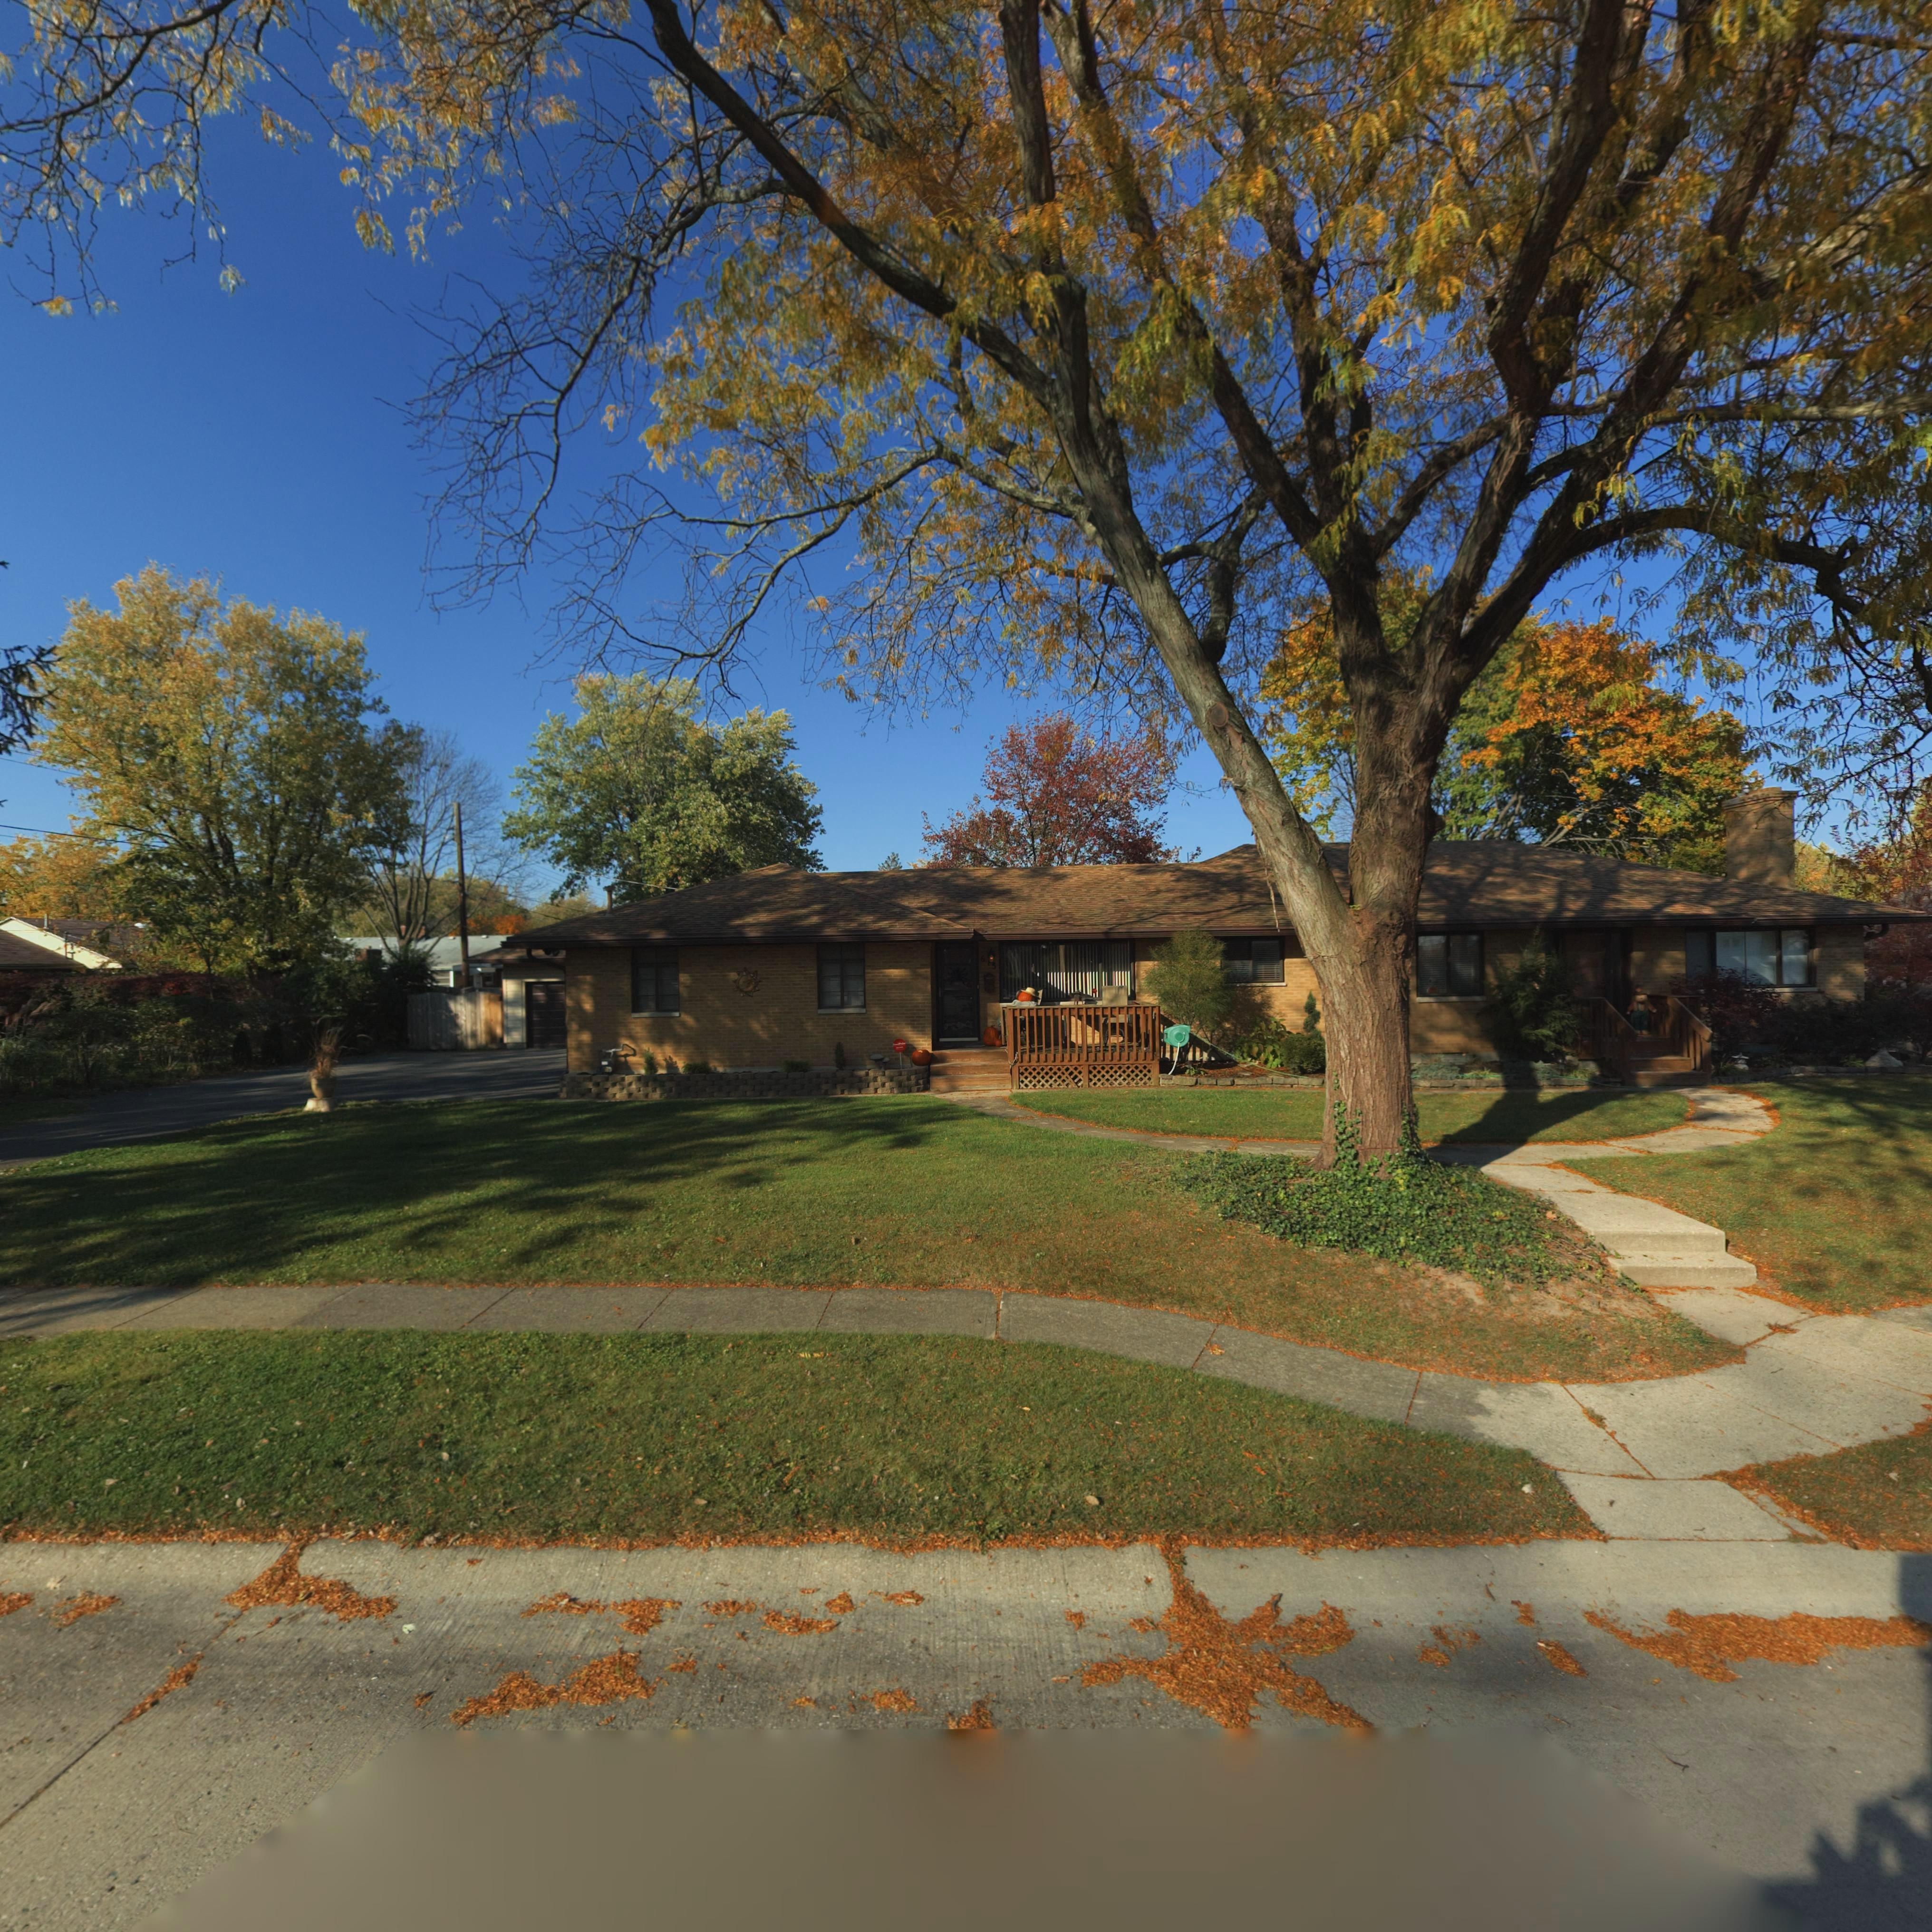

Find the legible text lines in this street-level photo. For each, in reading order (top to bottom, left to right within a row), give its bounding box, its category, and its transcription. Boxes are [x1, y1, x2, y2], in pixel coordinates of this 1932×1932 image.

[980, 955, 997, 970] StreetNumber: 6*5